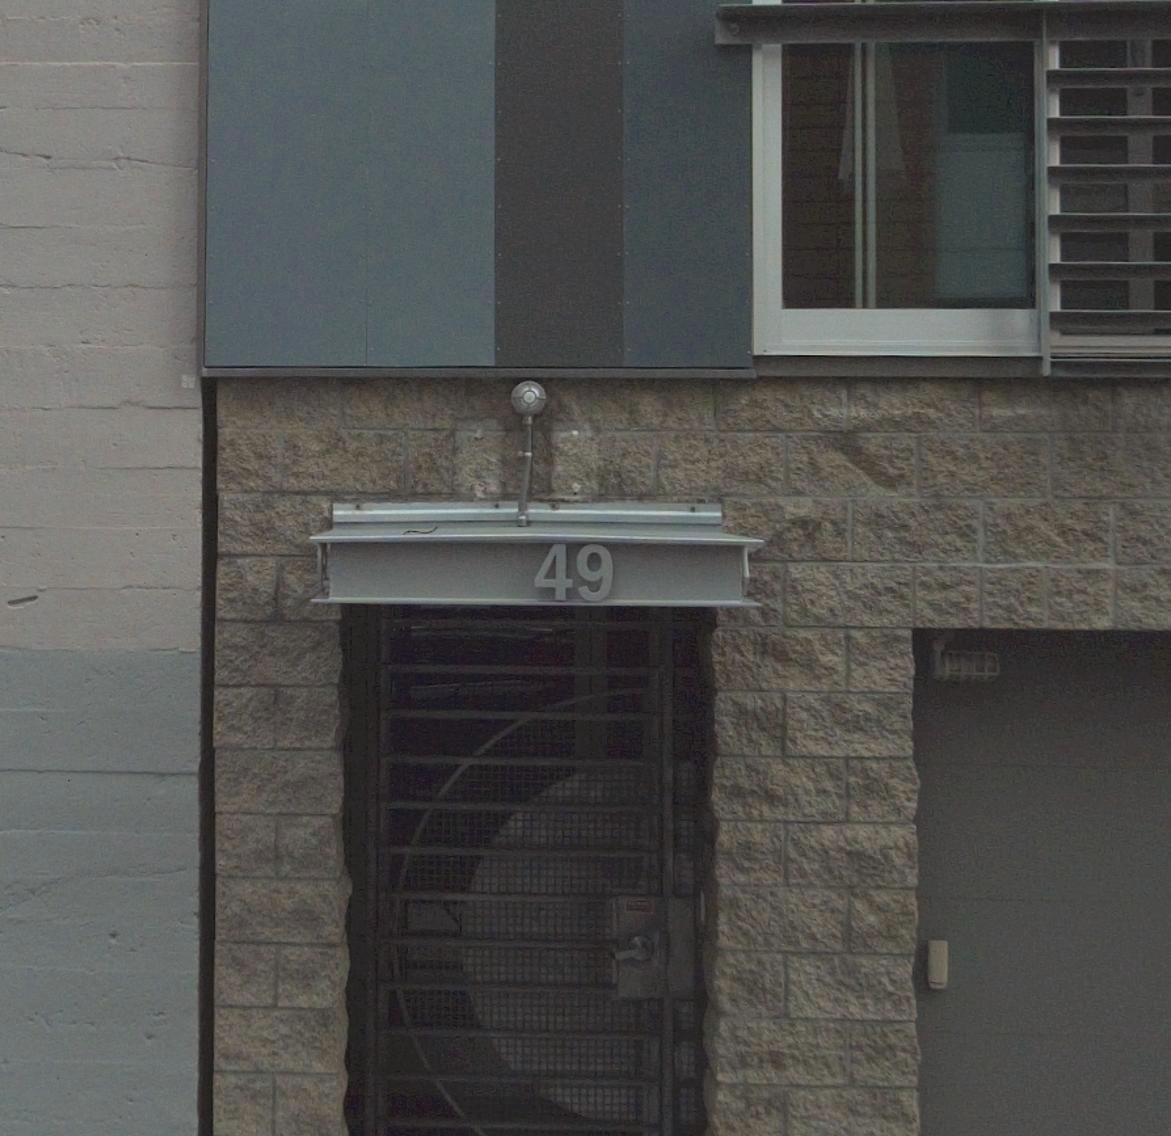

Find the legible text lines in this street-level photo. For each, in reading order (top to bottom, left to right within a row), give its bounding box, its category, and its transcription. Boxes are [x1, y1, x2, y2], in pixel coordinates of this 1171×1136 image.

[530, 541, 617, 604] StreetNumber: 49